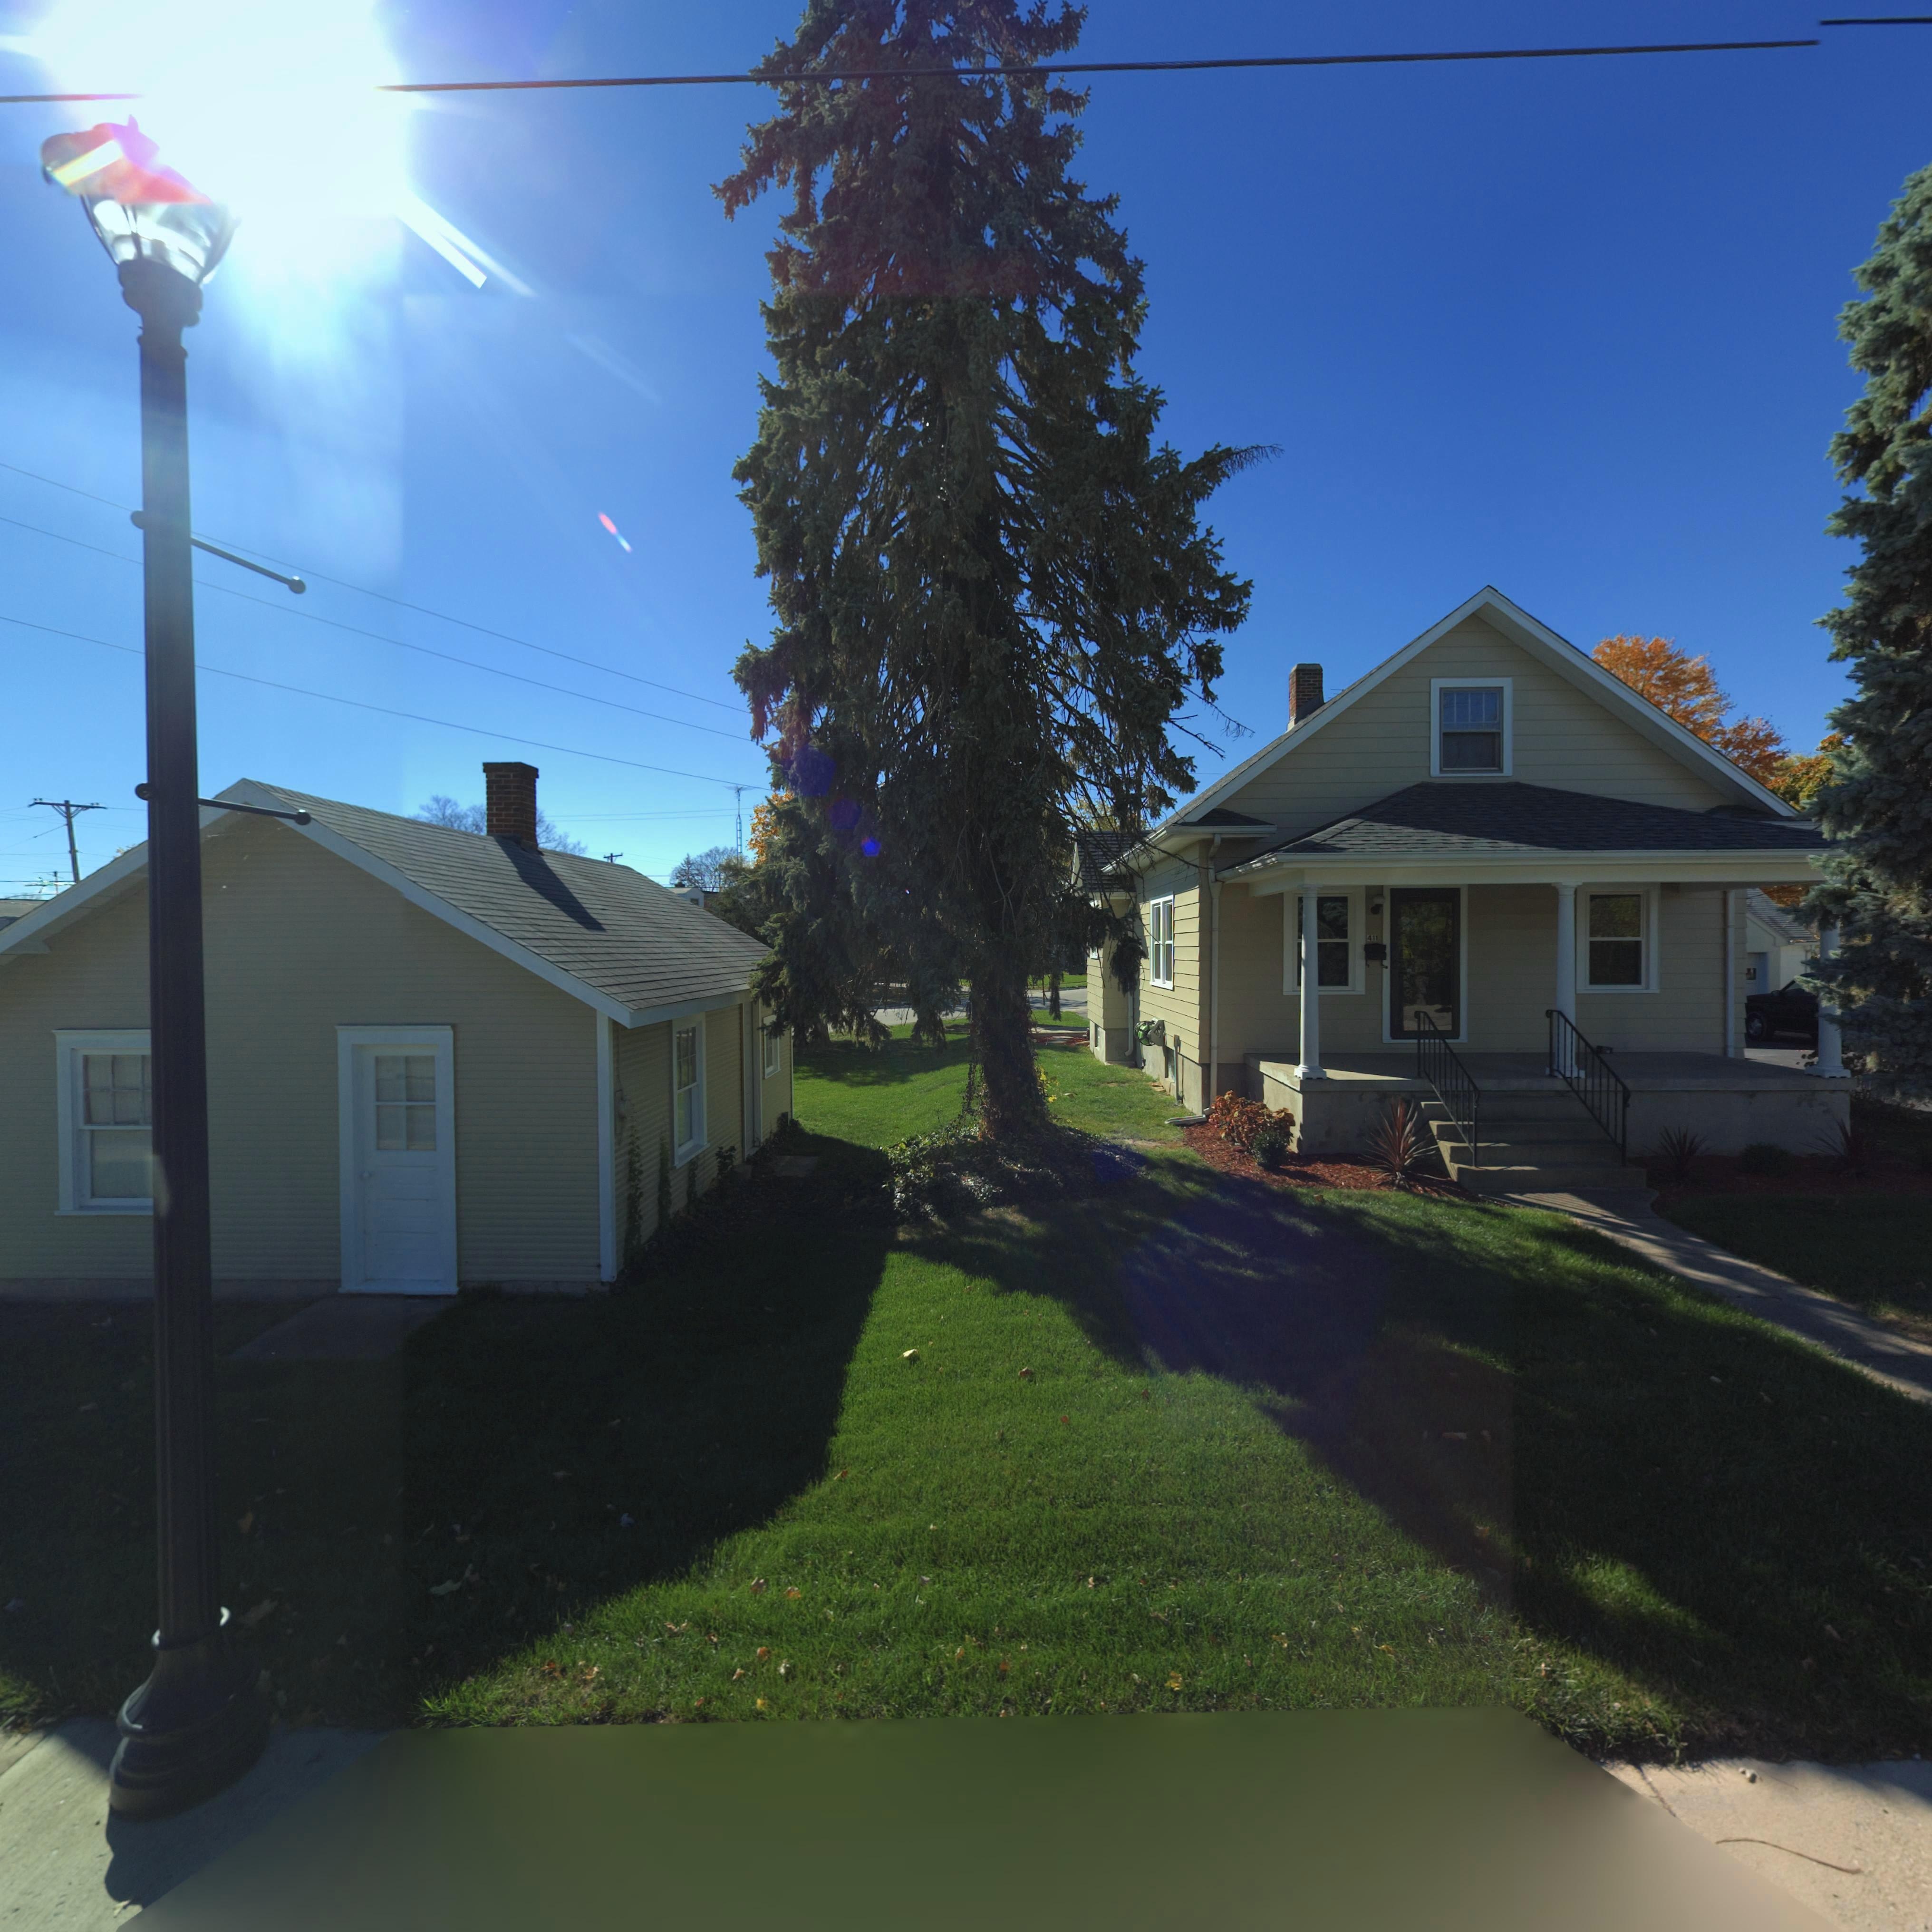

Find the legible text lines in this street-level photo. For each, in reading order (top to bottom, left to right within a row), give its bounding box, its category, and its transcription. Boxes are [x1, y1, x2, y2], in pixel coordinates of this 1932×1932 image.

[1366, 934, 1379, 943] StreetNumber: 411